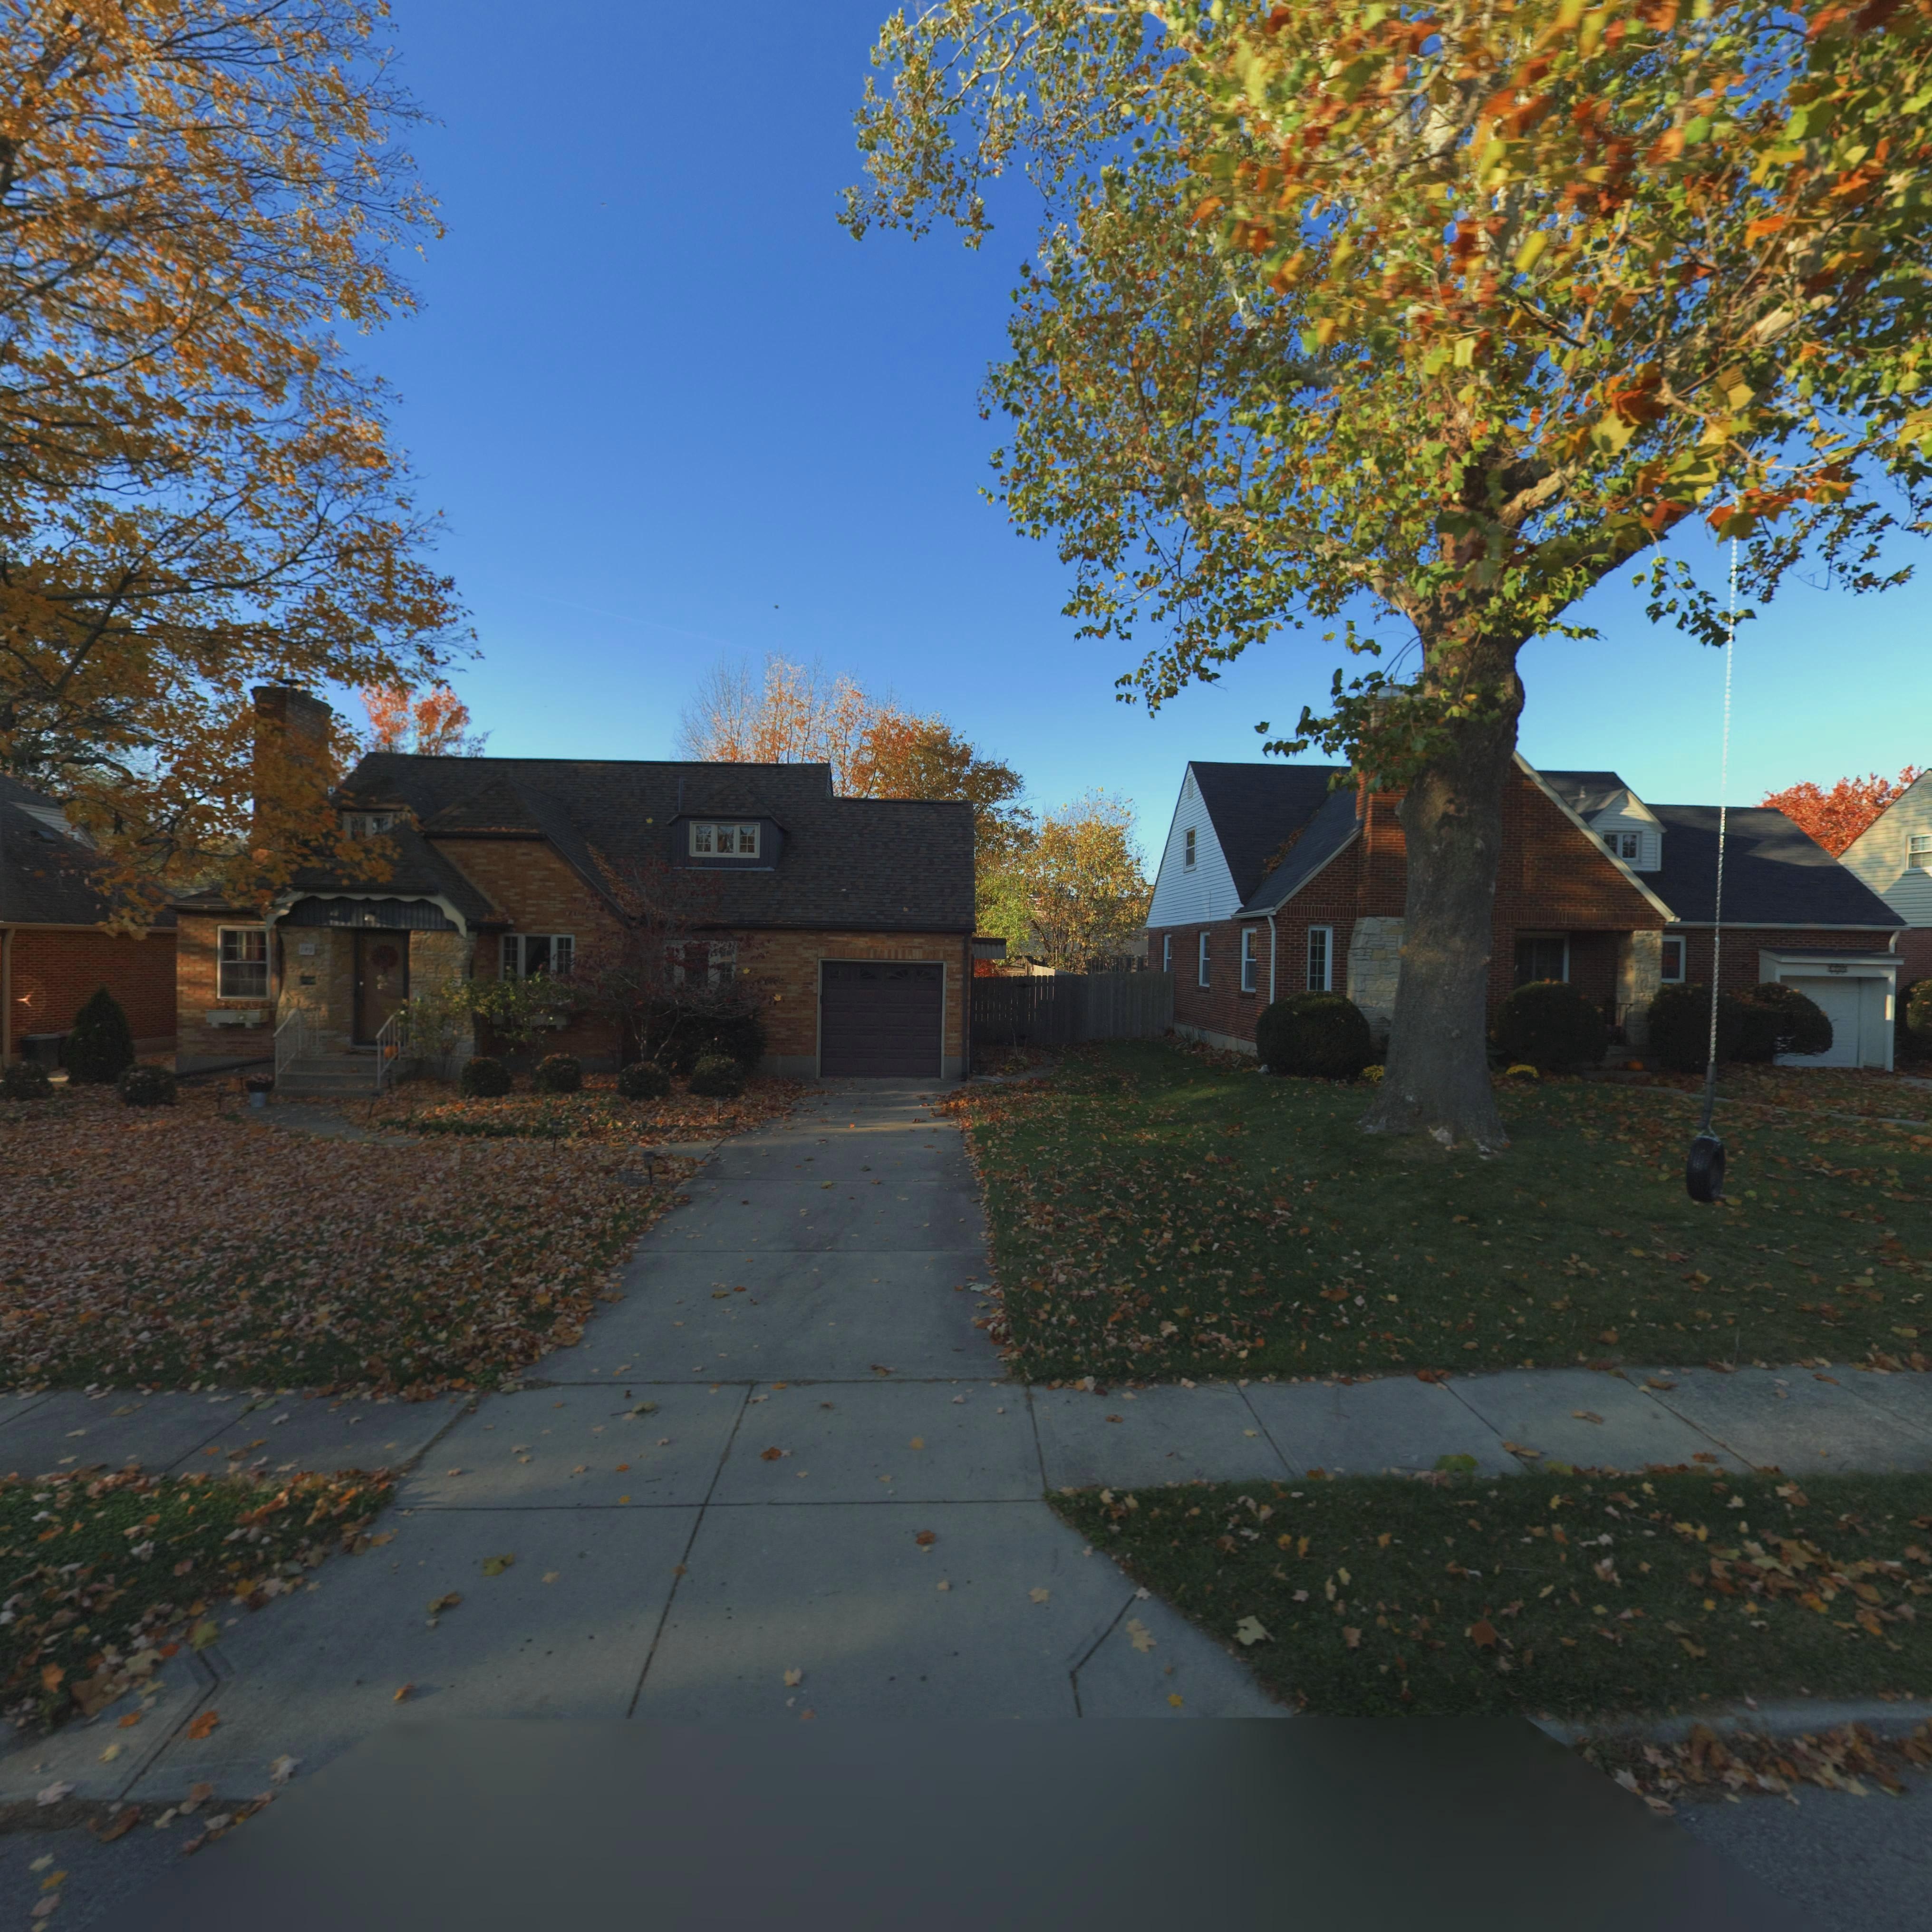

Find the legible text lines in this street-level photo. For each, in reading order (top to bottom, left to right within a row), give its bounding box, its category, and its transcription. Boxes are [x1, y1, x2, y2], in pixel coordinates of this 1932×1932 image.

[299, 946, 313, 953] StreetNumber: 14*